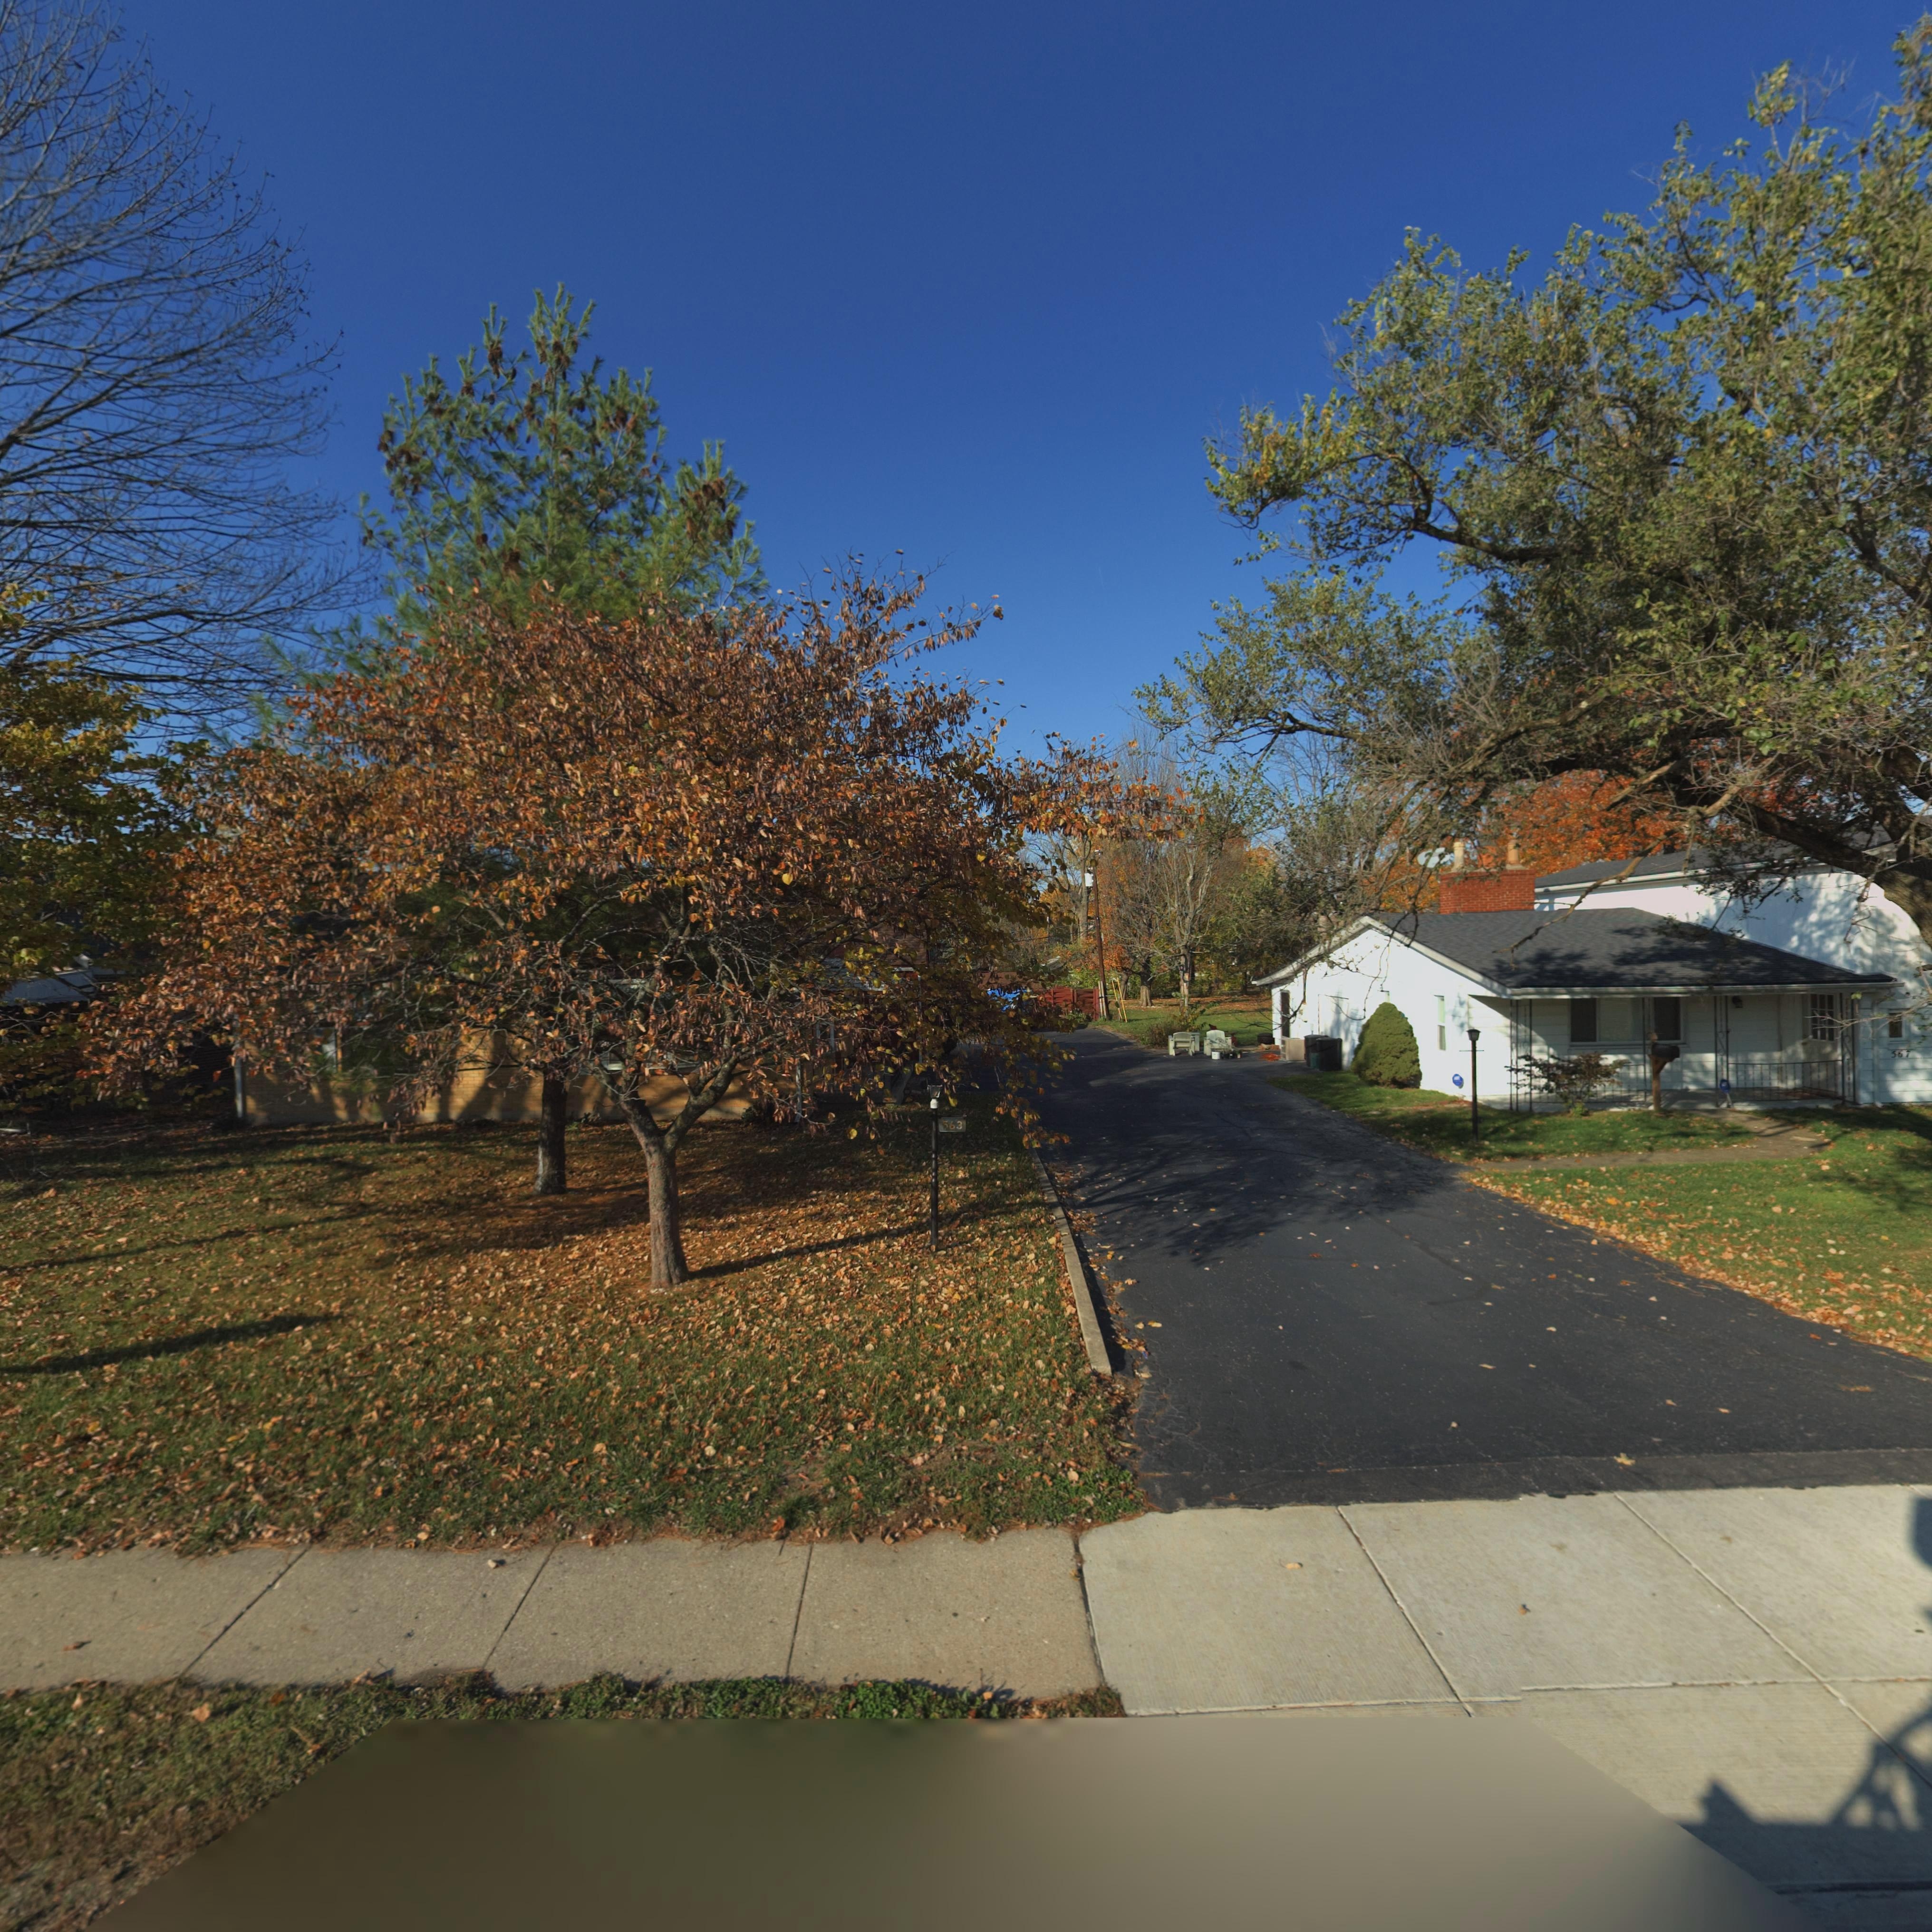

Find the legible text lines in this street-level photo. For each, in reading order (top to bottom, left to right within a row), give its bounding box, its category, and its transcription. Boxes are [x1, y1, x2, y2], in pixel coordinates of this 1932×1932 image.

[1890, 1049, 1912, 1059] StreetNumber: 567
[942, 1120, 963, 1130] StreetNumber: 563